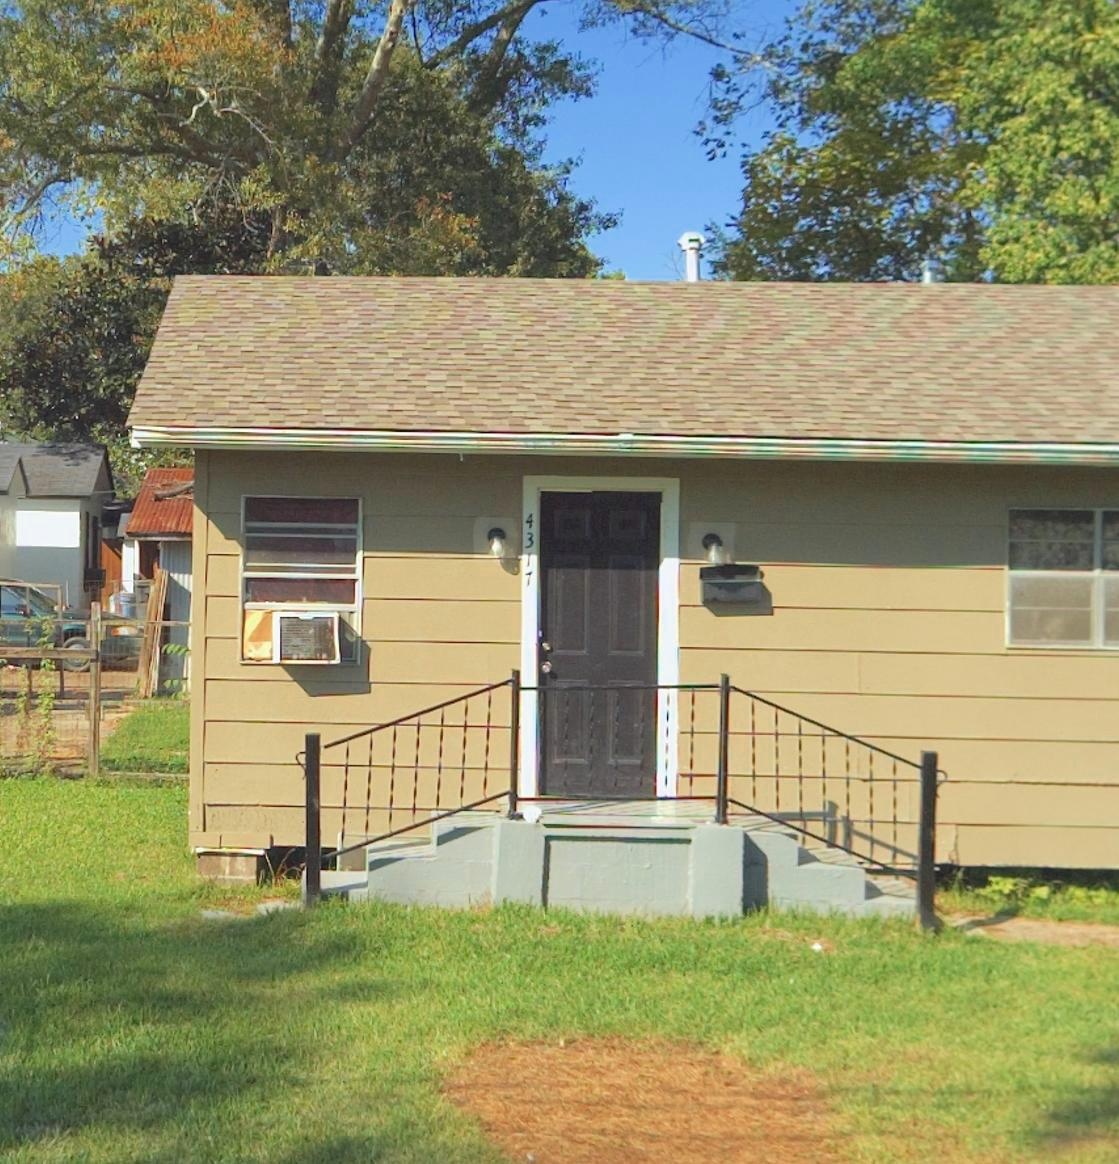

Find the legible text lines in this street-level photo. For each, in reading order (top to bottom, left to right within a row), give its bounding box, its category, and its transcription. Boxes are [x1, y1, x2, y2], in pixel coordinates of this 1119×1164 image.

[524, 512, 534, 587] StreetNumber: 4317